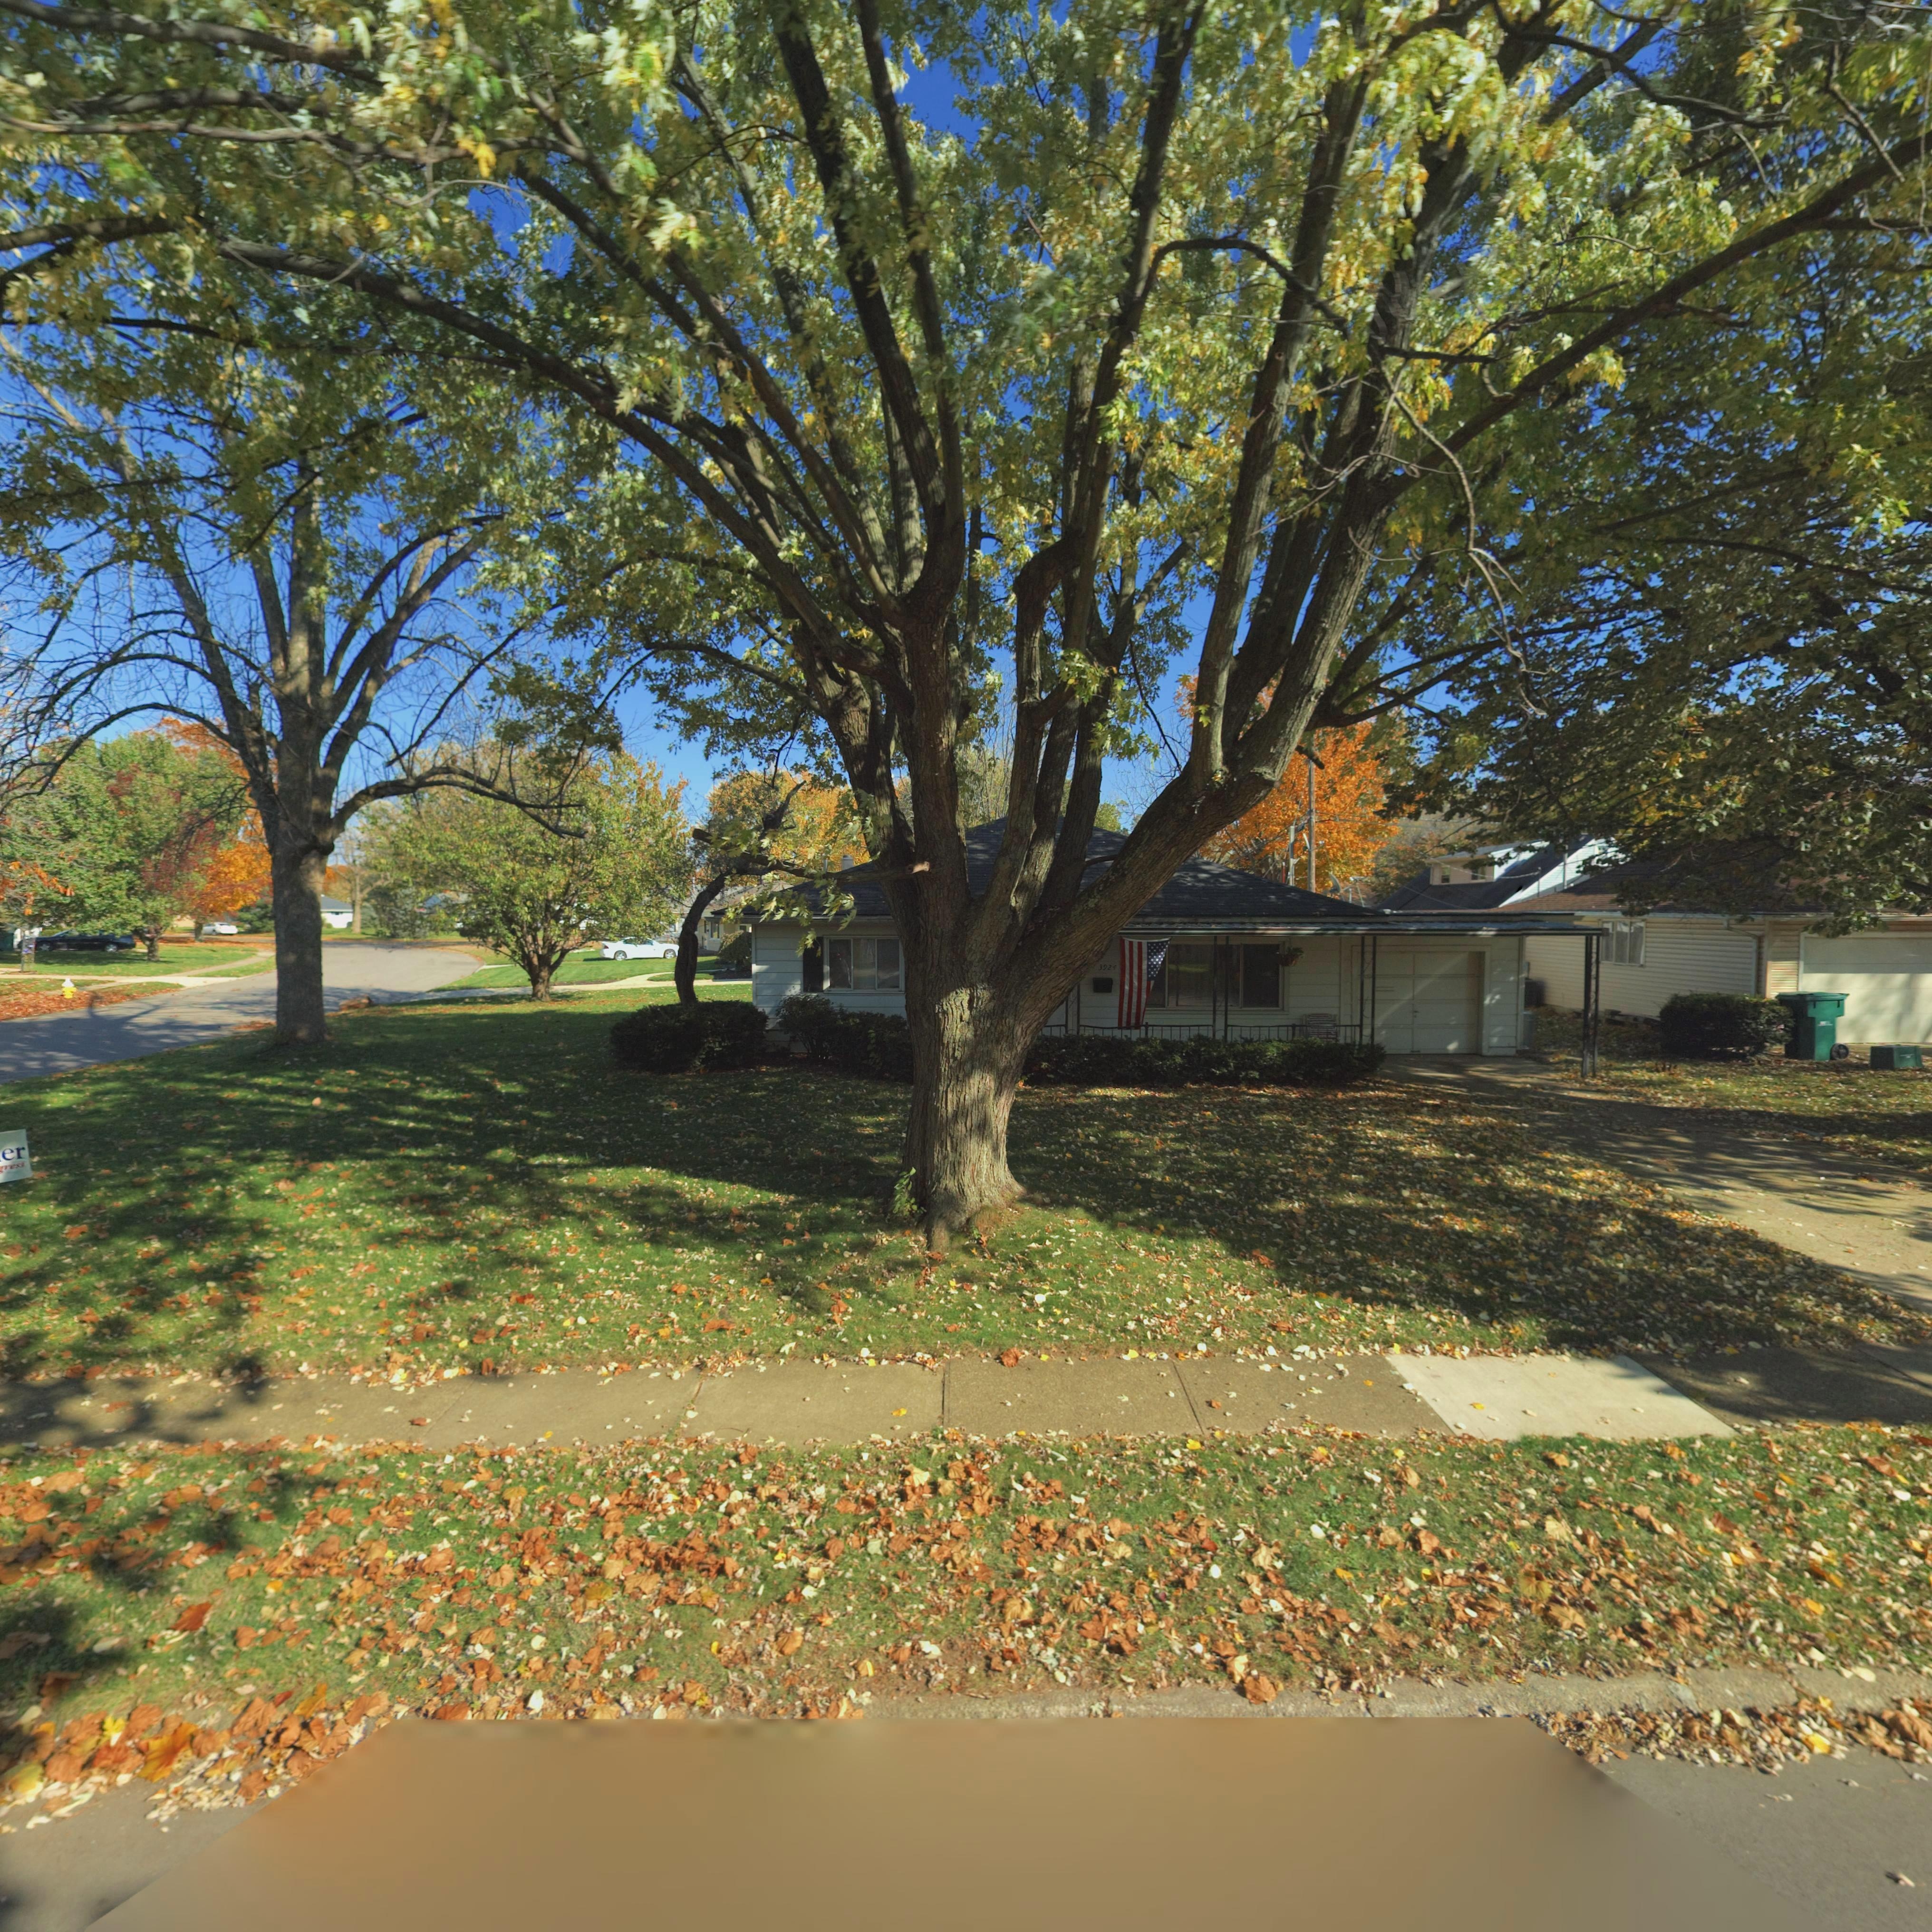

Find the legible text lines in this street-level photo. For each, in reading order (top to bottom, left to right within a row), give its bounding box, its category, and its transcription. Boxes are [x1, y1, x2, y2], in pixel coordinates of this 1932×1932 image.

[1098, 963, 1118, 971] StreetNumber: 3924
[0, 1145, 28, 1163] None: er